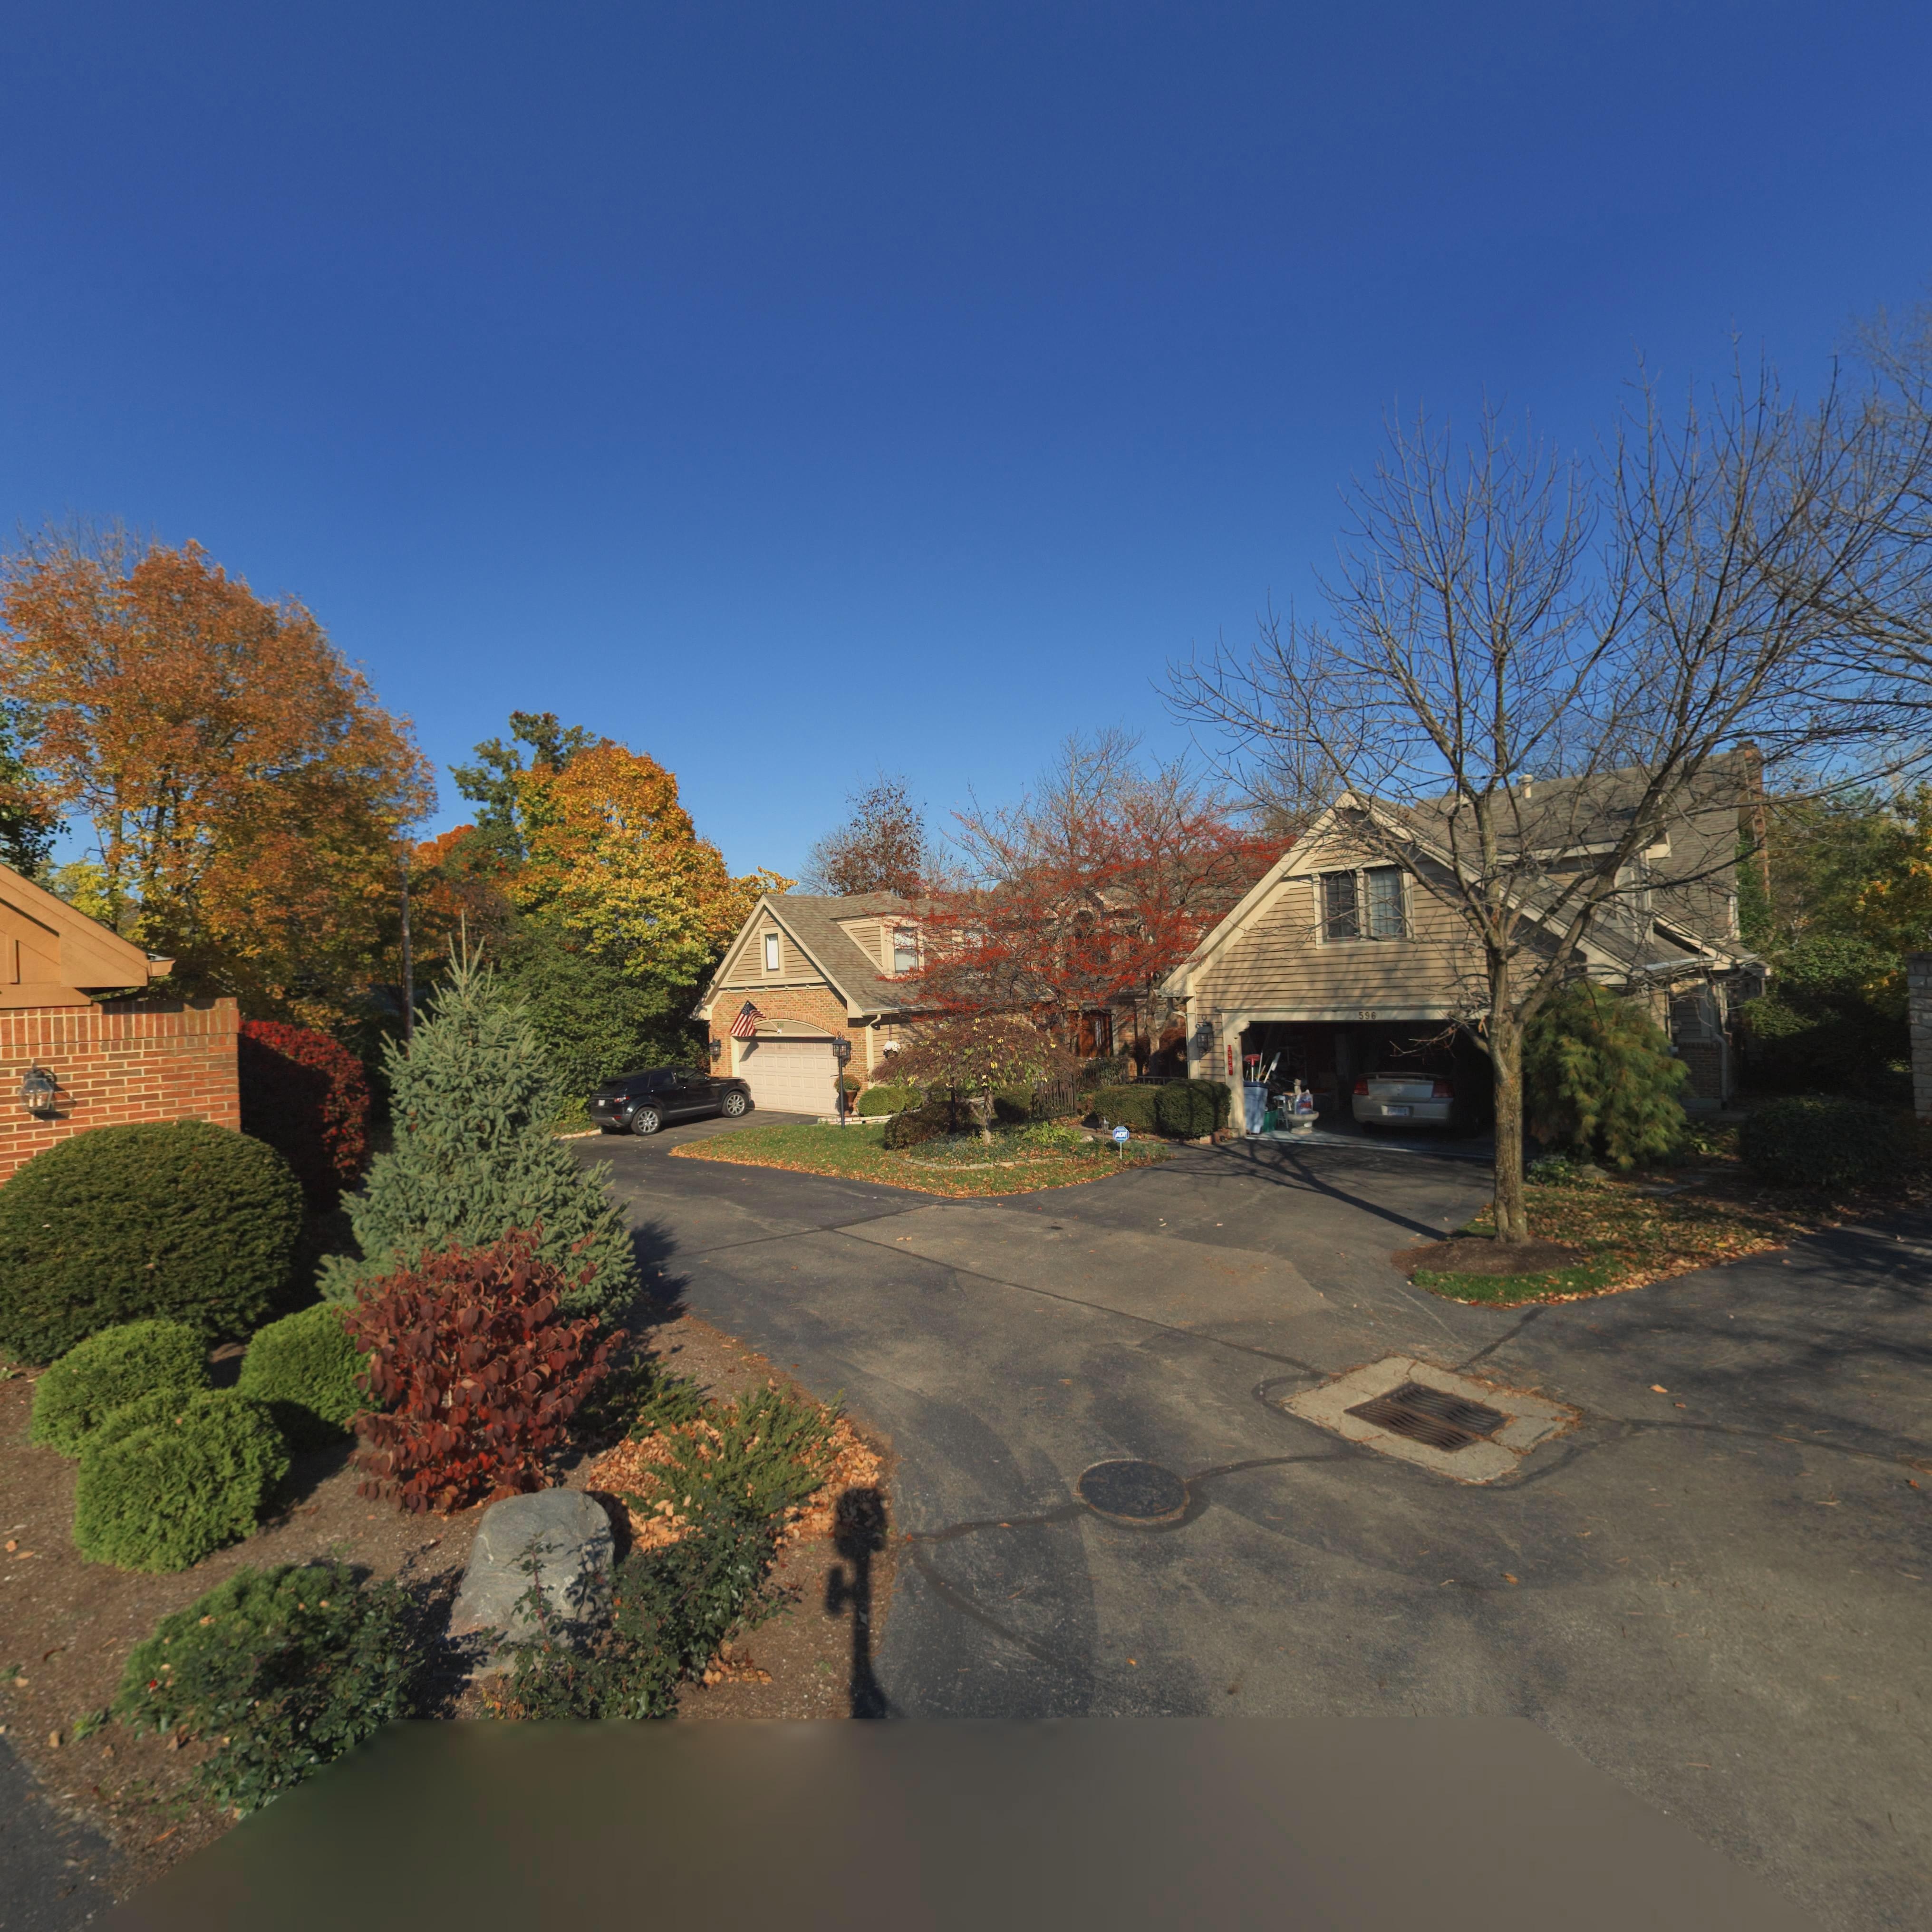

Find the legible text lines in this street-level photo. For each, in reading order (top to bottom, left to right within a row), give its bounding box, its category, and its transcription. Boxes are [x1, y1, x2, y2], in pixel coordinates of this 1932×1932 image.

[1358, 1011, 1376, 1020] StreetNumber: 596
[1228, 1051, 1232, 1071] StreetNumber: 596